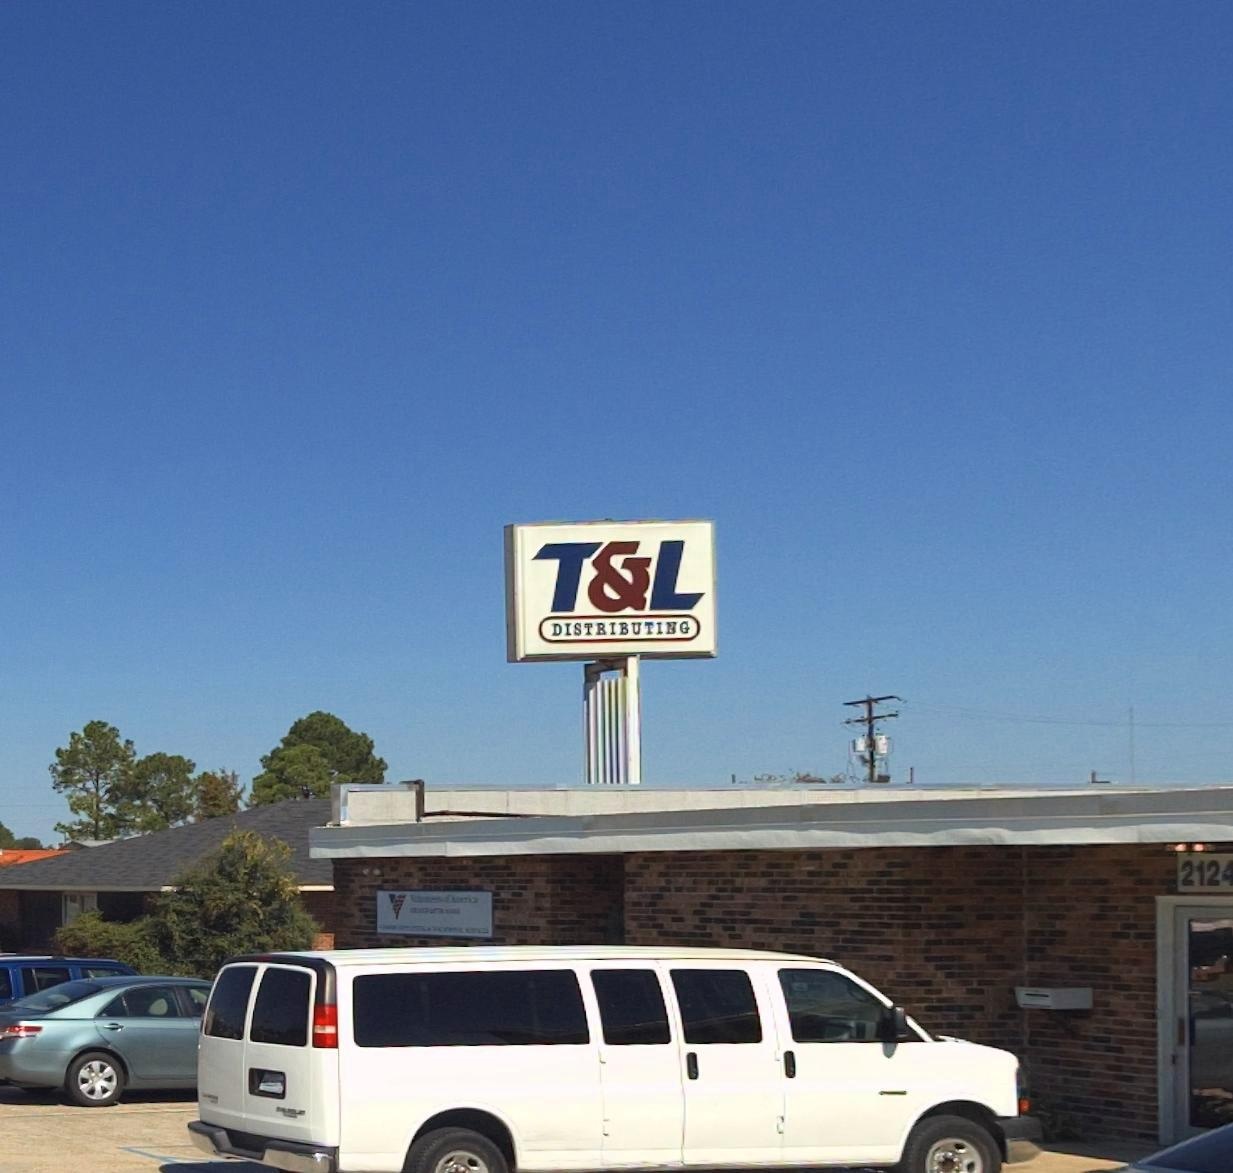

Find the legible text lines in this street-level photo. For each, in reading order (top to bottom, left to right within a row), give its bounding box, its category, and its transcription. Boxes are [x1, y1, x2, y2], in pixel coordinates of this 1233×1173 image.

[527, 539, 709, 615] BusinessName: T&L
[548, 618, 693, 639] BusinessName: DISTIBUTING
[1178, 857, 1223, 890] StreetNumber: 212